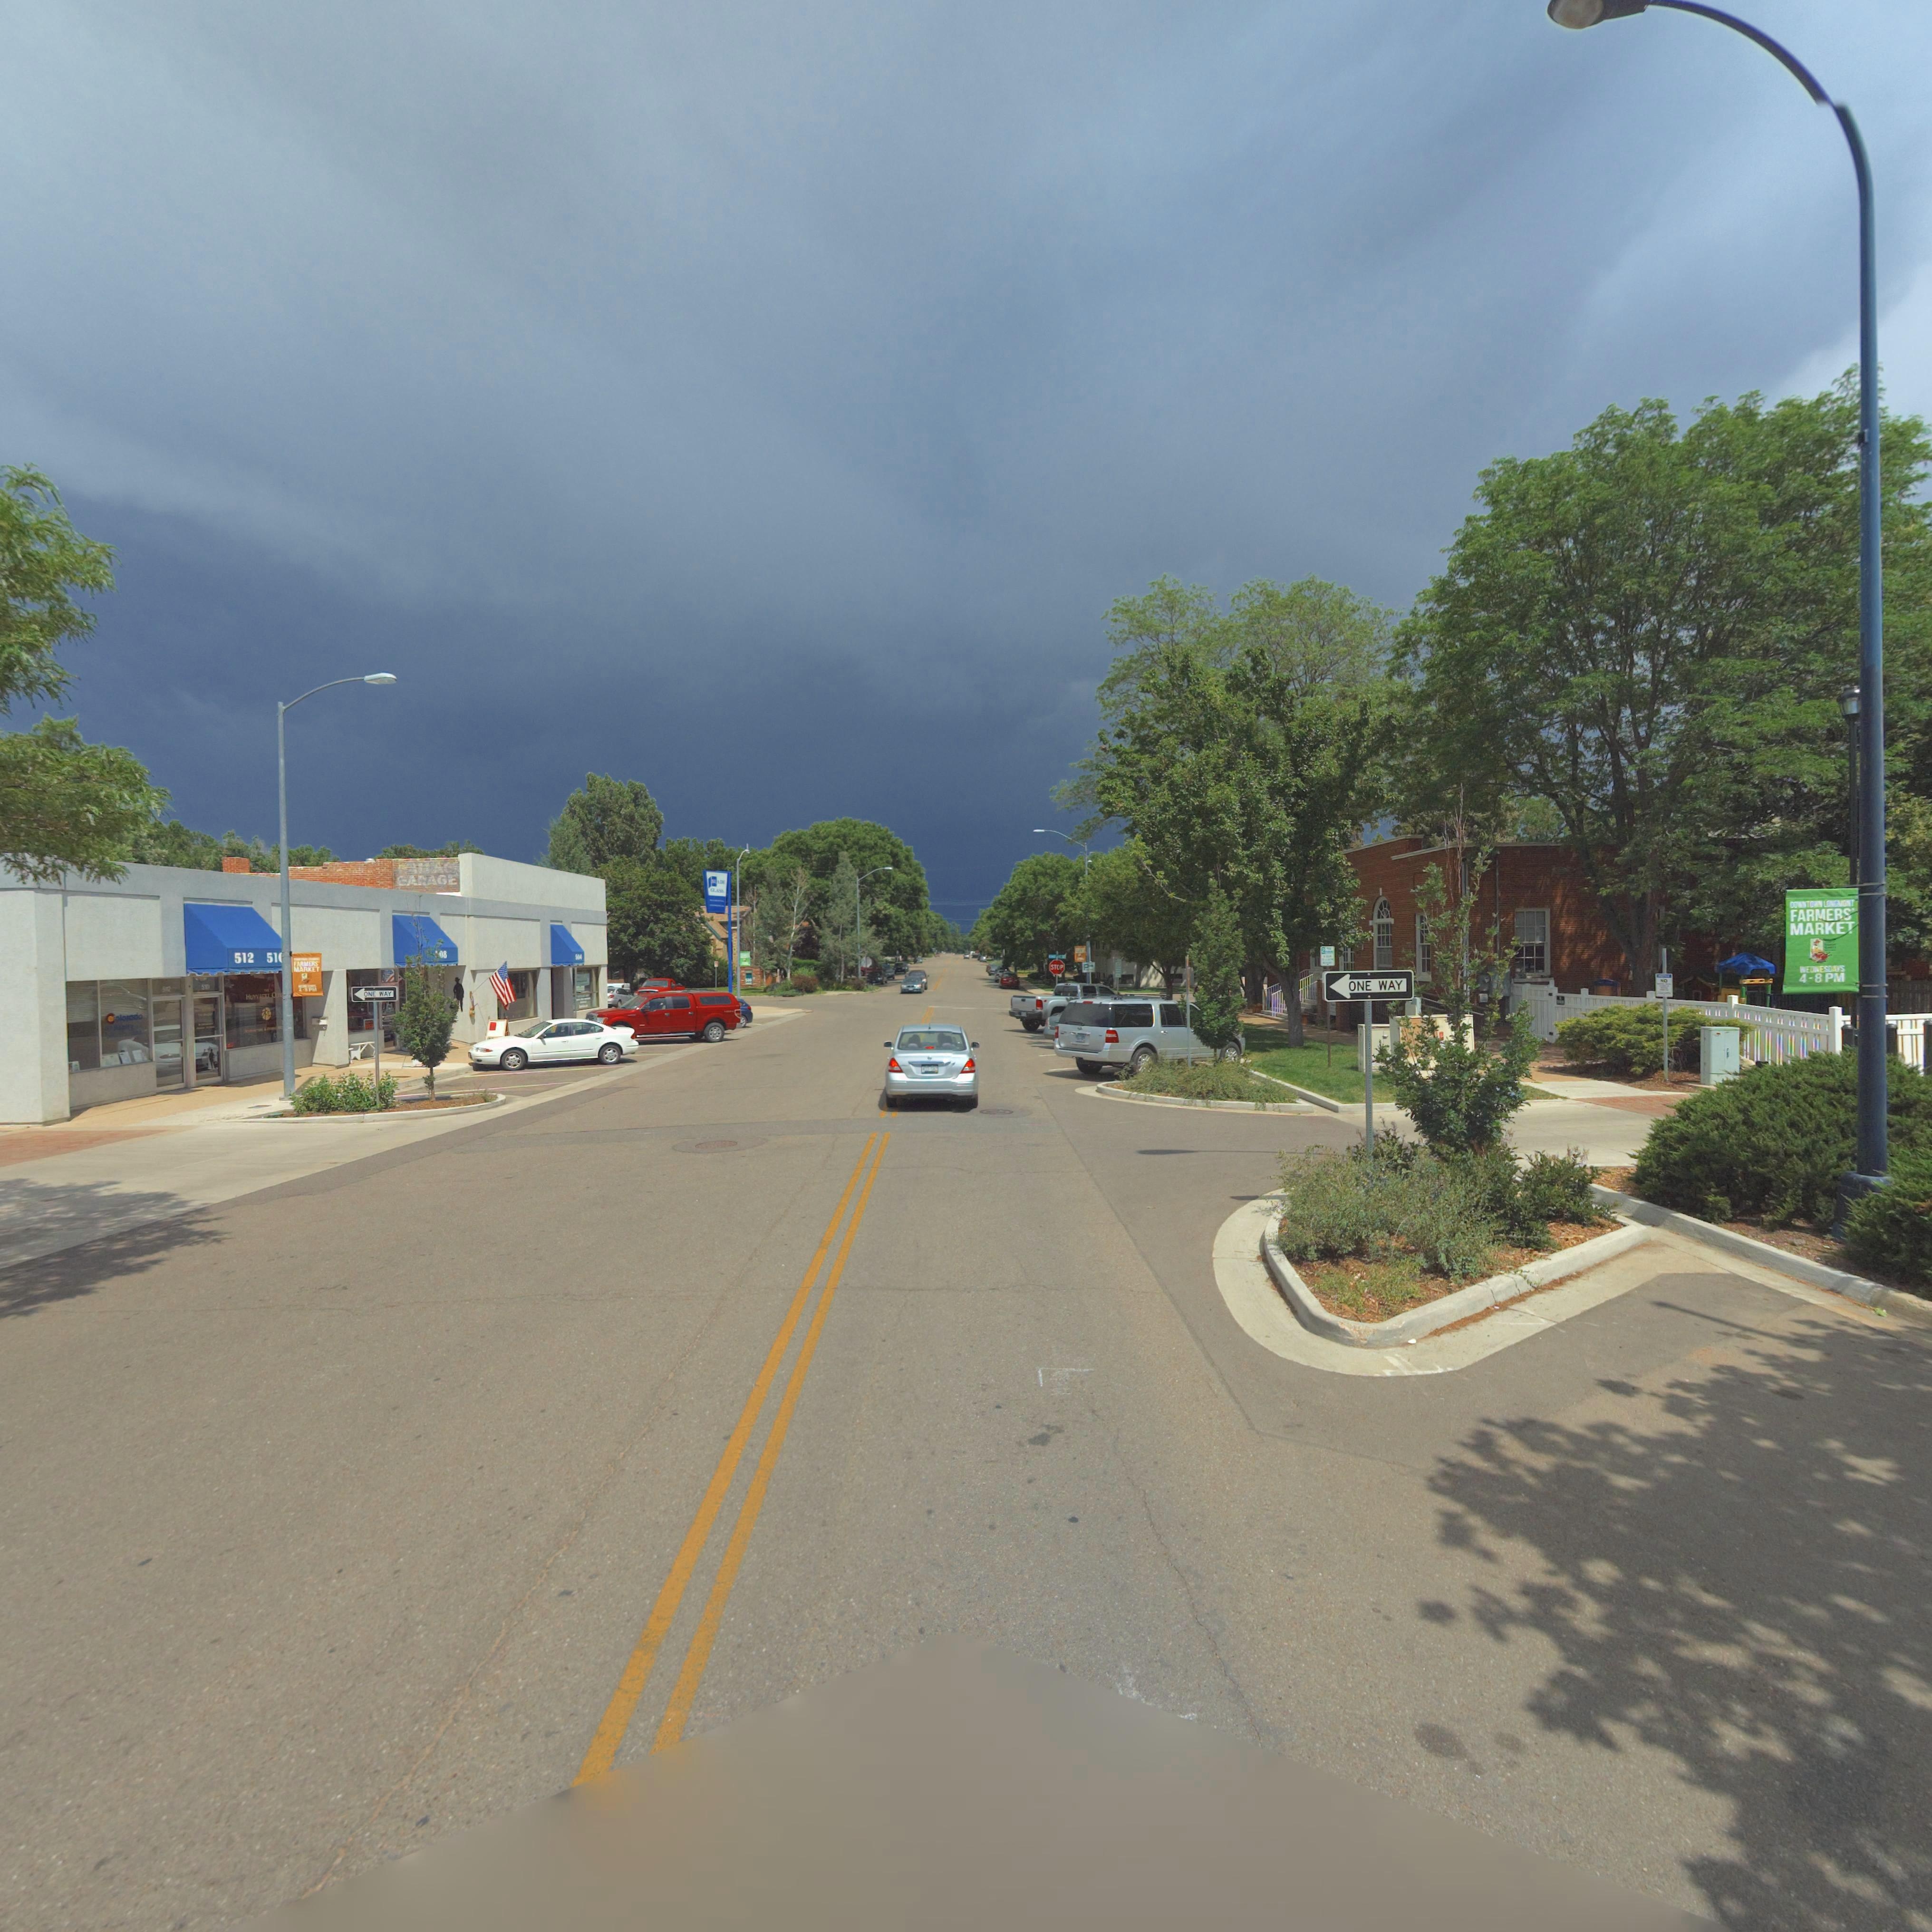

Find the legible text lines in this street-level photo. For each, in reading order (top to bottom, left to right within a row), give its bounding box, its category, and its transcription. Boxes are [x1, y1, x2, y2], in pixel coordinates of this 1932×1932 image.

[711, 879, 726, 884] BusinessName: SLADE
[710, 888, 724, 892] BusinessName: GLASS
[233, 952, 254, 963] StreetNumber: 512
[266, 951, 287, 963] StreetNumber: 51*
[435, 950, 447, 958] StreetNumber: *08
[575, 954, 582, 960] StreetNumber: 504
[1062, 955, 1066, 958] StreetName: ST
[162, 986, 171, 992] StreetNumber: 512
[201, 984, 210, 990] StreetNumber: 510
[246, 992, 282, 1000] BusinessName: HUY***** C**
[105, 1012, 143, 1024] BusinessName: Colorado